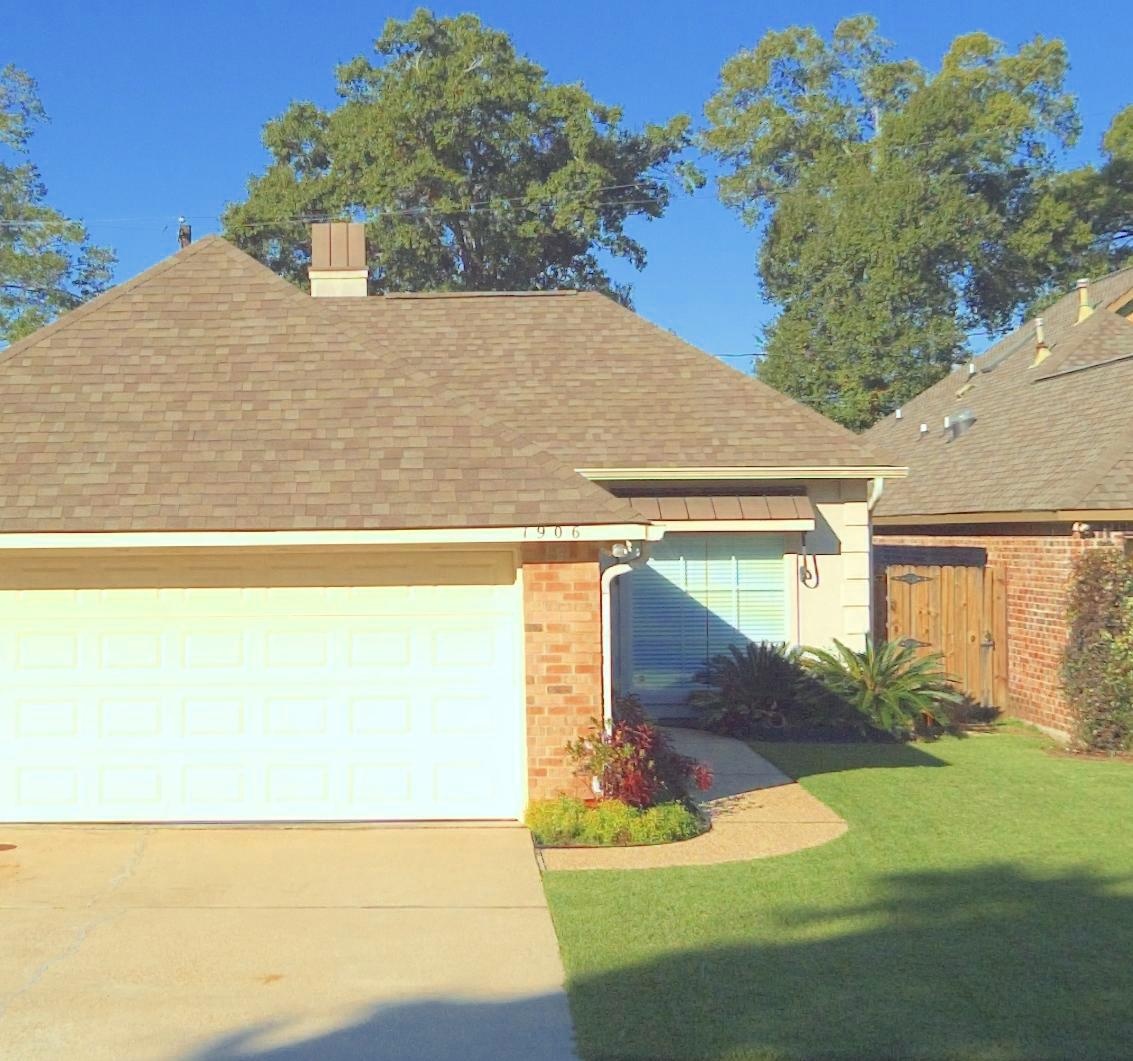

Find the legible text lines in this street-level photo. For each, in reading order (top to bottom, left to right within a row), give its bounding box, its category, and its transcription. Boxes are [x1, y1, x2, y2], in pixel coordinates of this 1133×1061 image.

[521, 523, 582, 541] StreetNumber: 1906